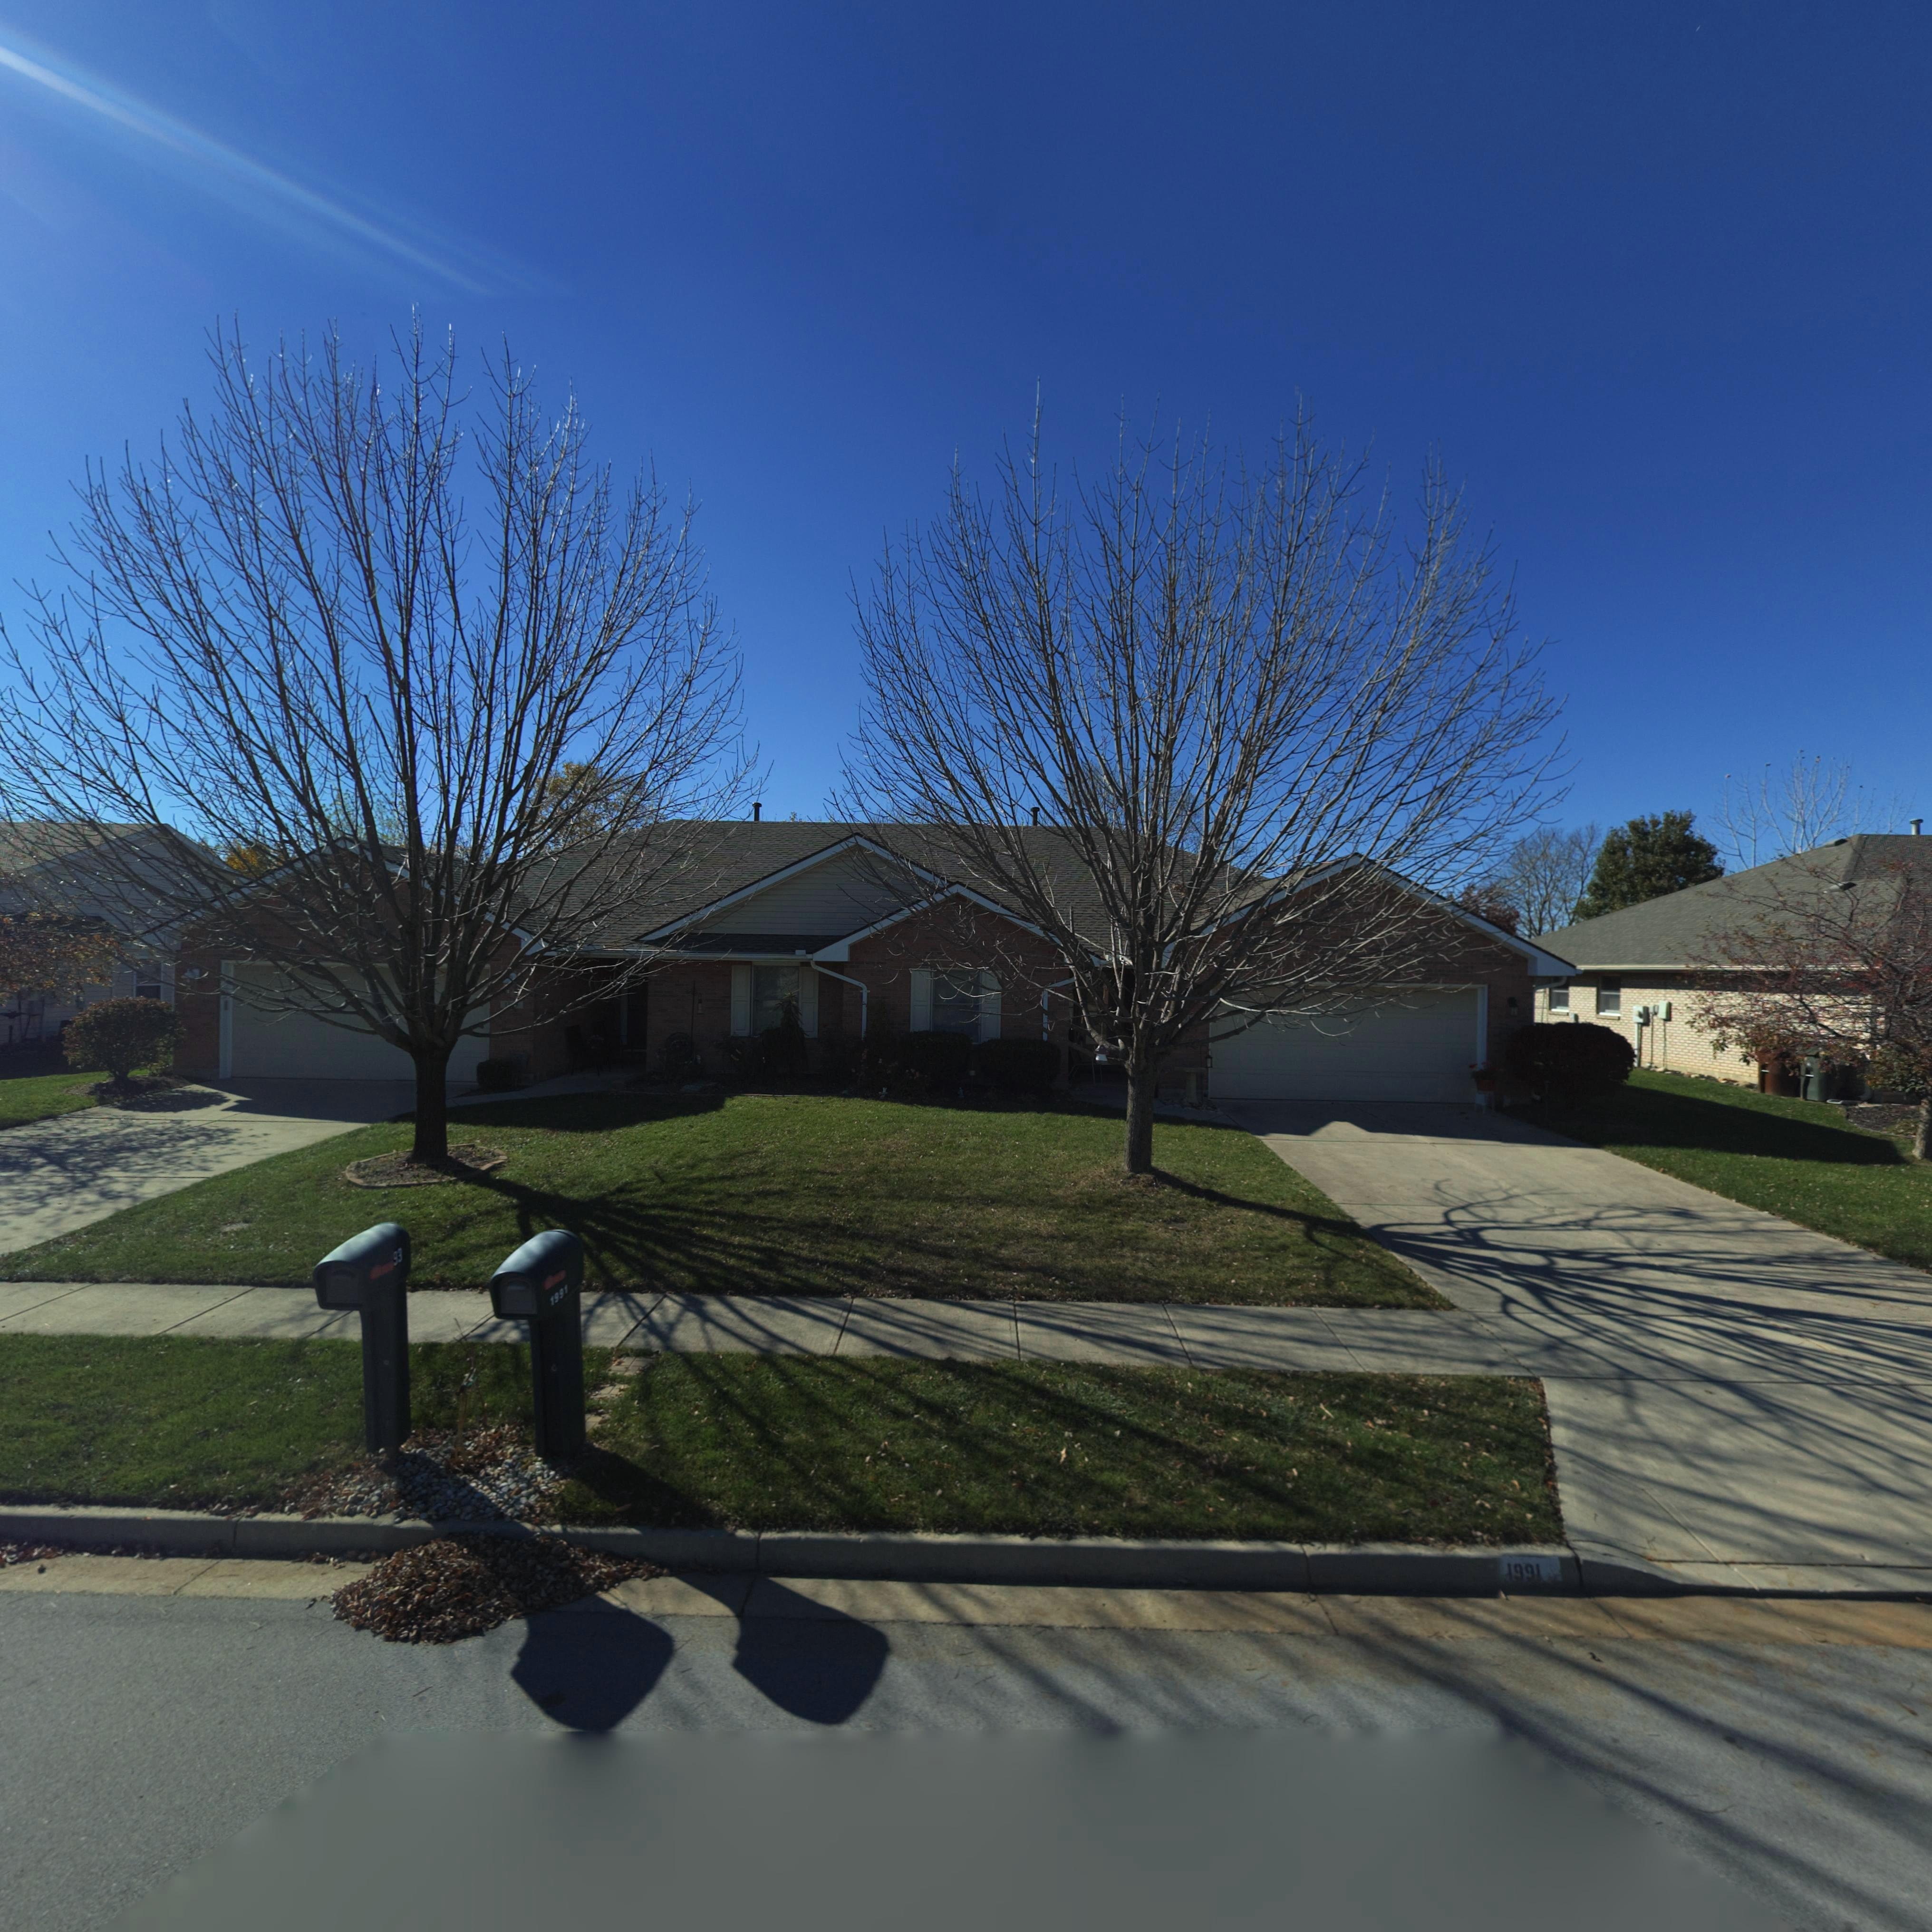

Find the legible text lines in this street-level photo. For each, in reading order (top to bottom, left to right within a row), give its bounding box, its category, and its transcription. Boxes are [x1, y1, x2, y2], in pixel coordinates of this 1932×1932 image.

[392, 1246, 405, 1267] StreetNumber: 93
[549, 1282, 569, 1307] StreetNumber: 1991
[1505, 1560, 1544, 1583] StreetNumber: 1991